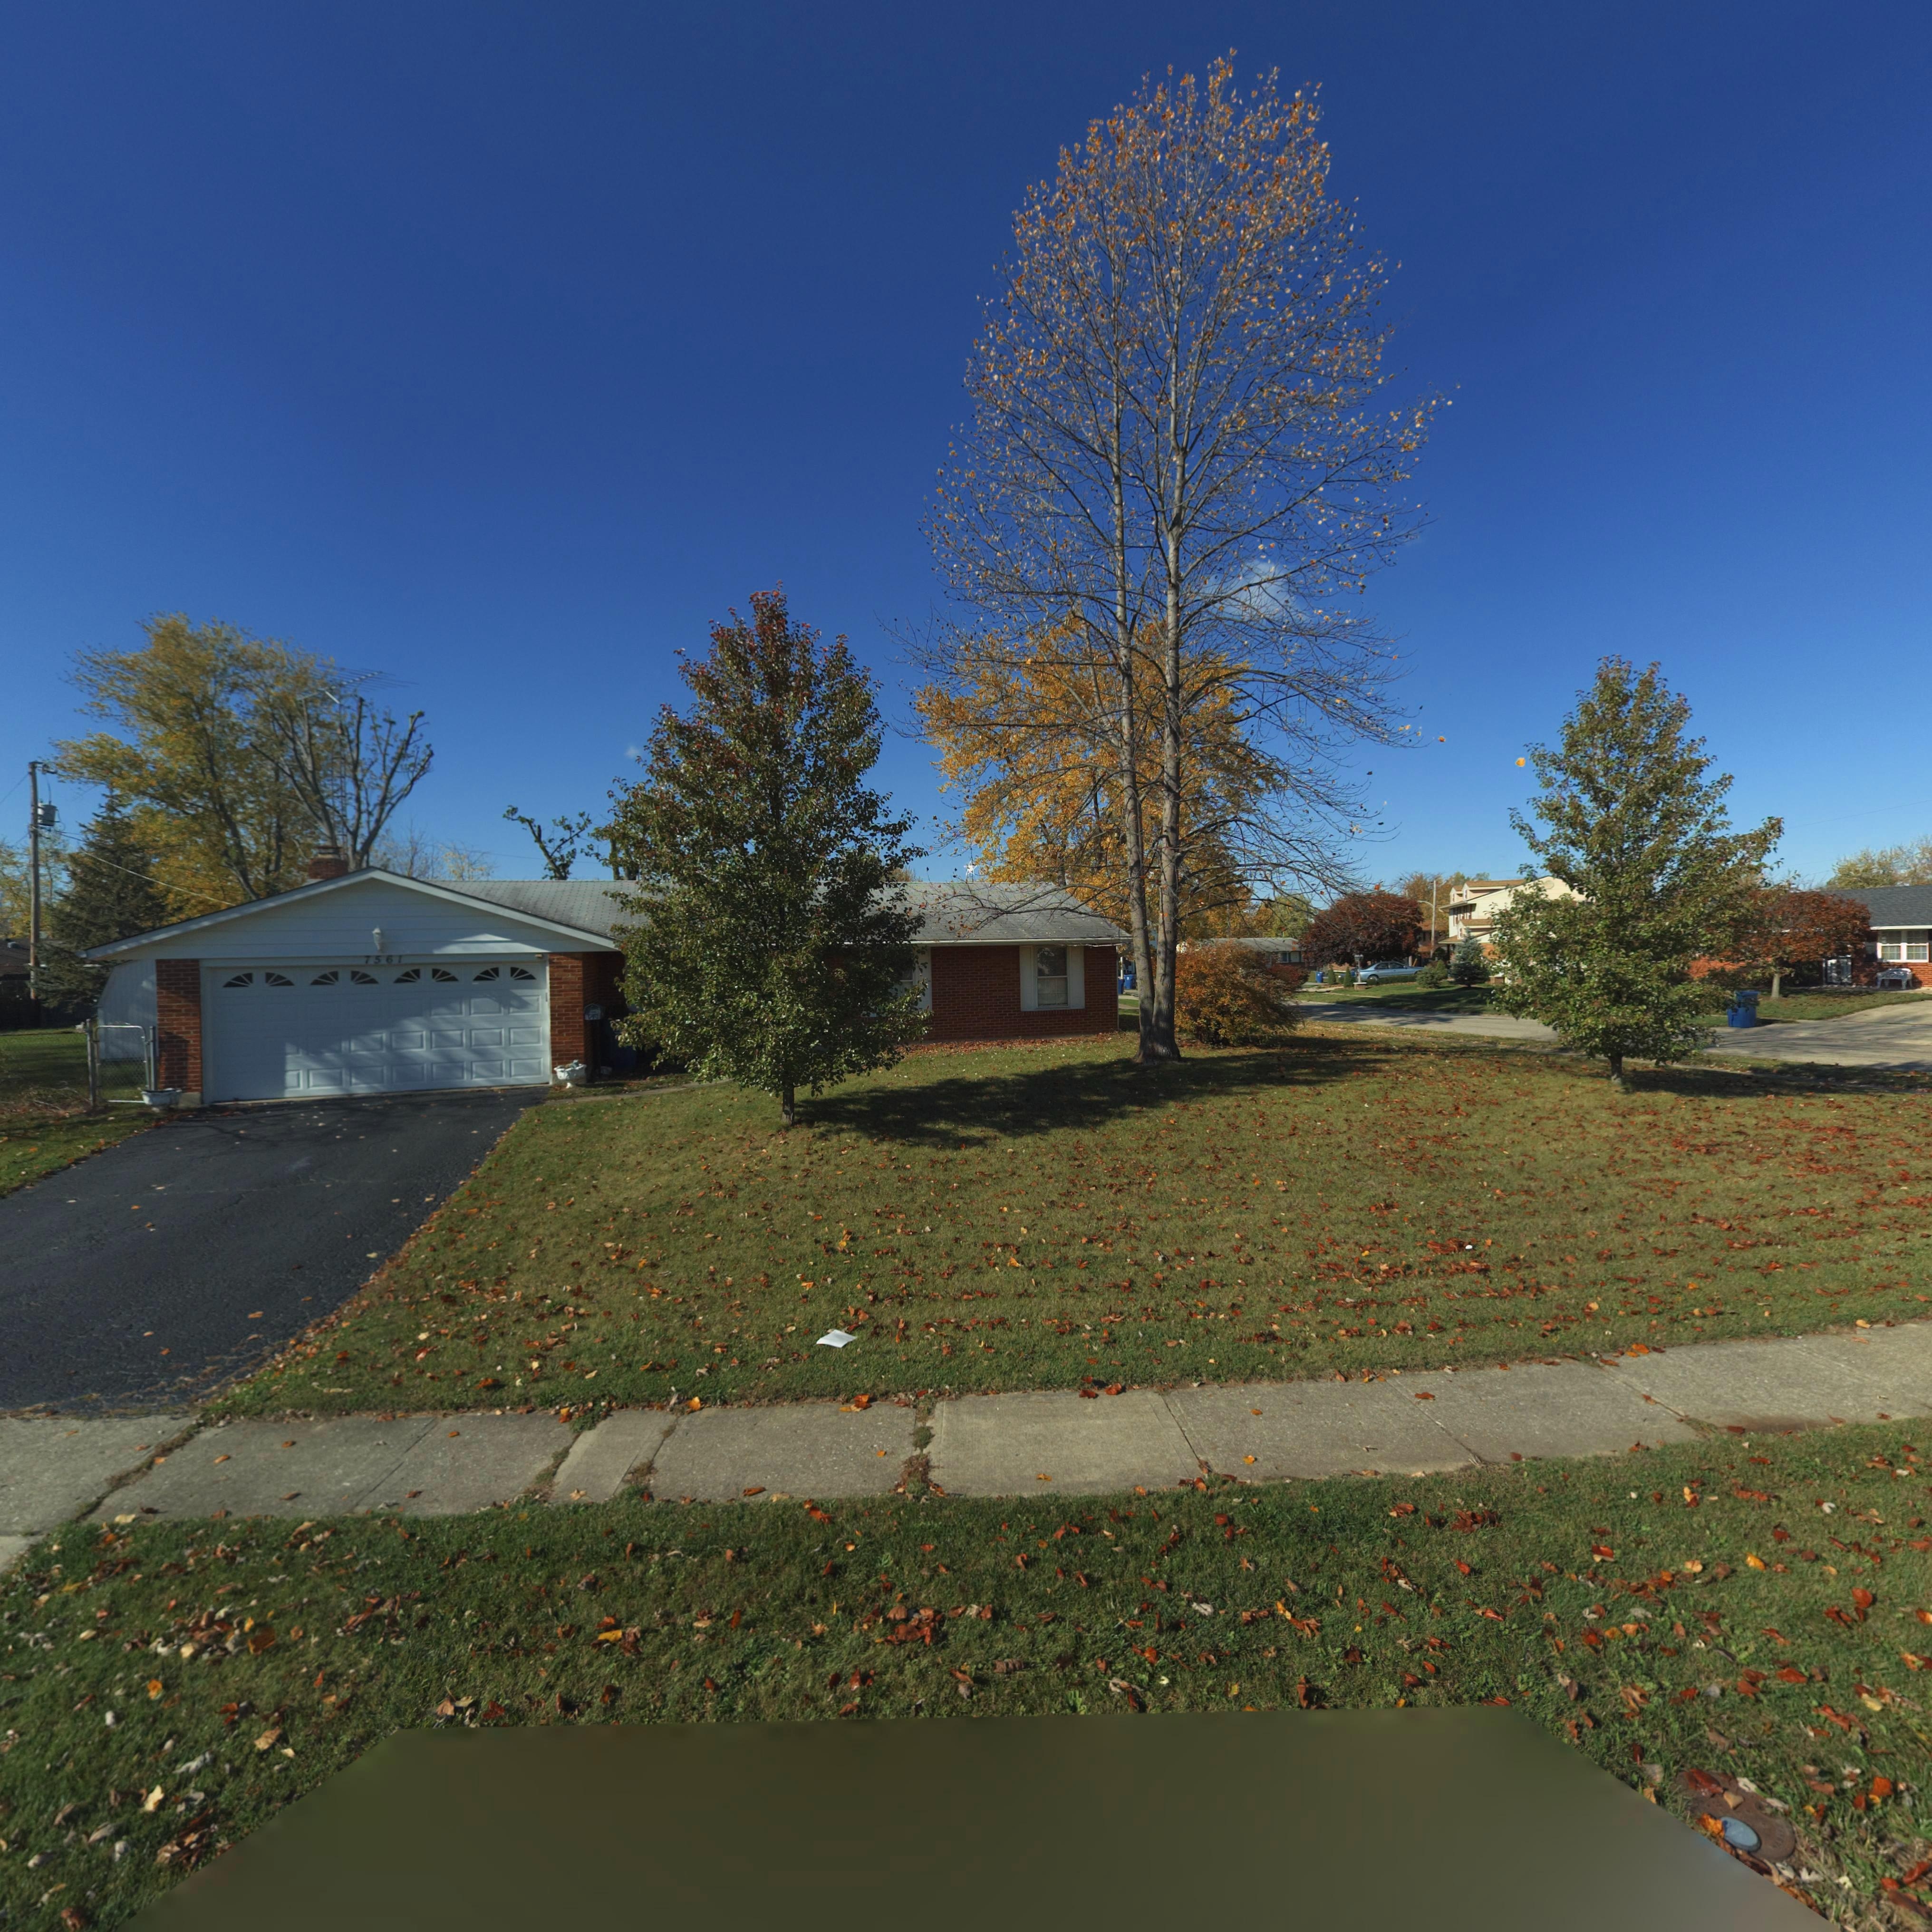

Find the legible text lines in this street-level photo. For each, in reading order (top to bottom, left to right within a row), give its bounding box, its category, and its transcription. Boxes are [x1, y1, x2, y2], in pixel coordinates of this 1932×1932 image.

[364, 955, 404, 964] StreetNumber: 7561